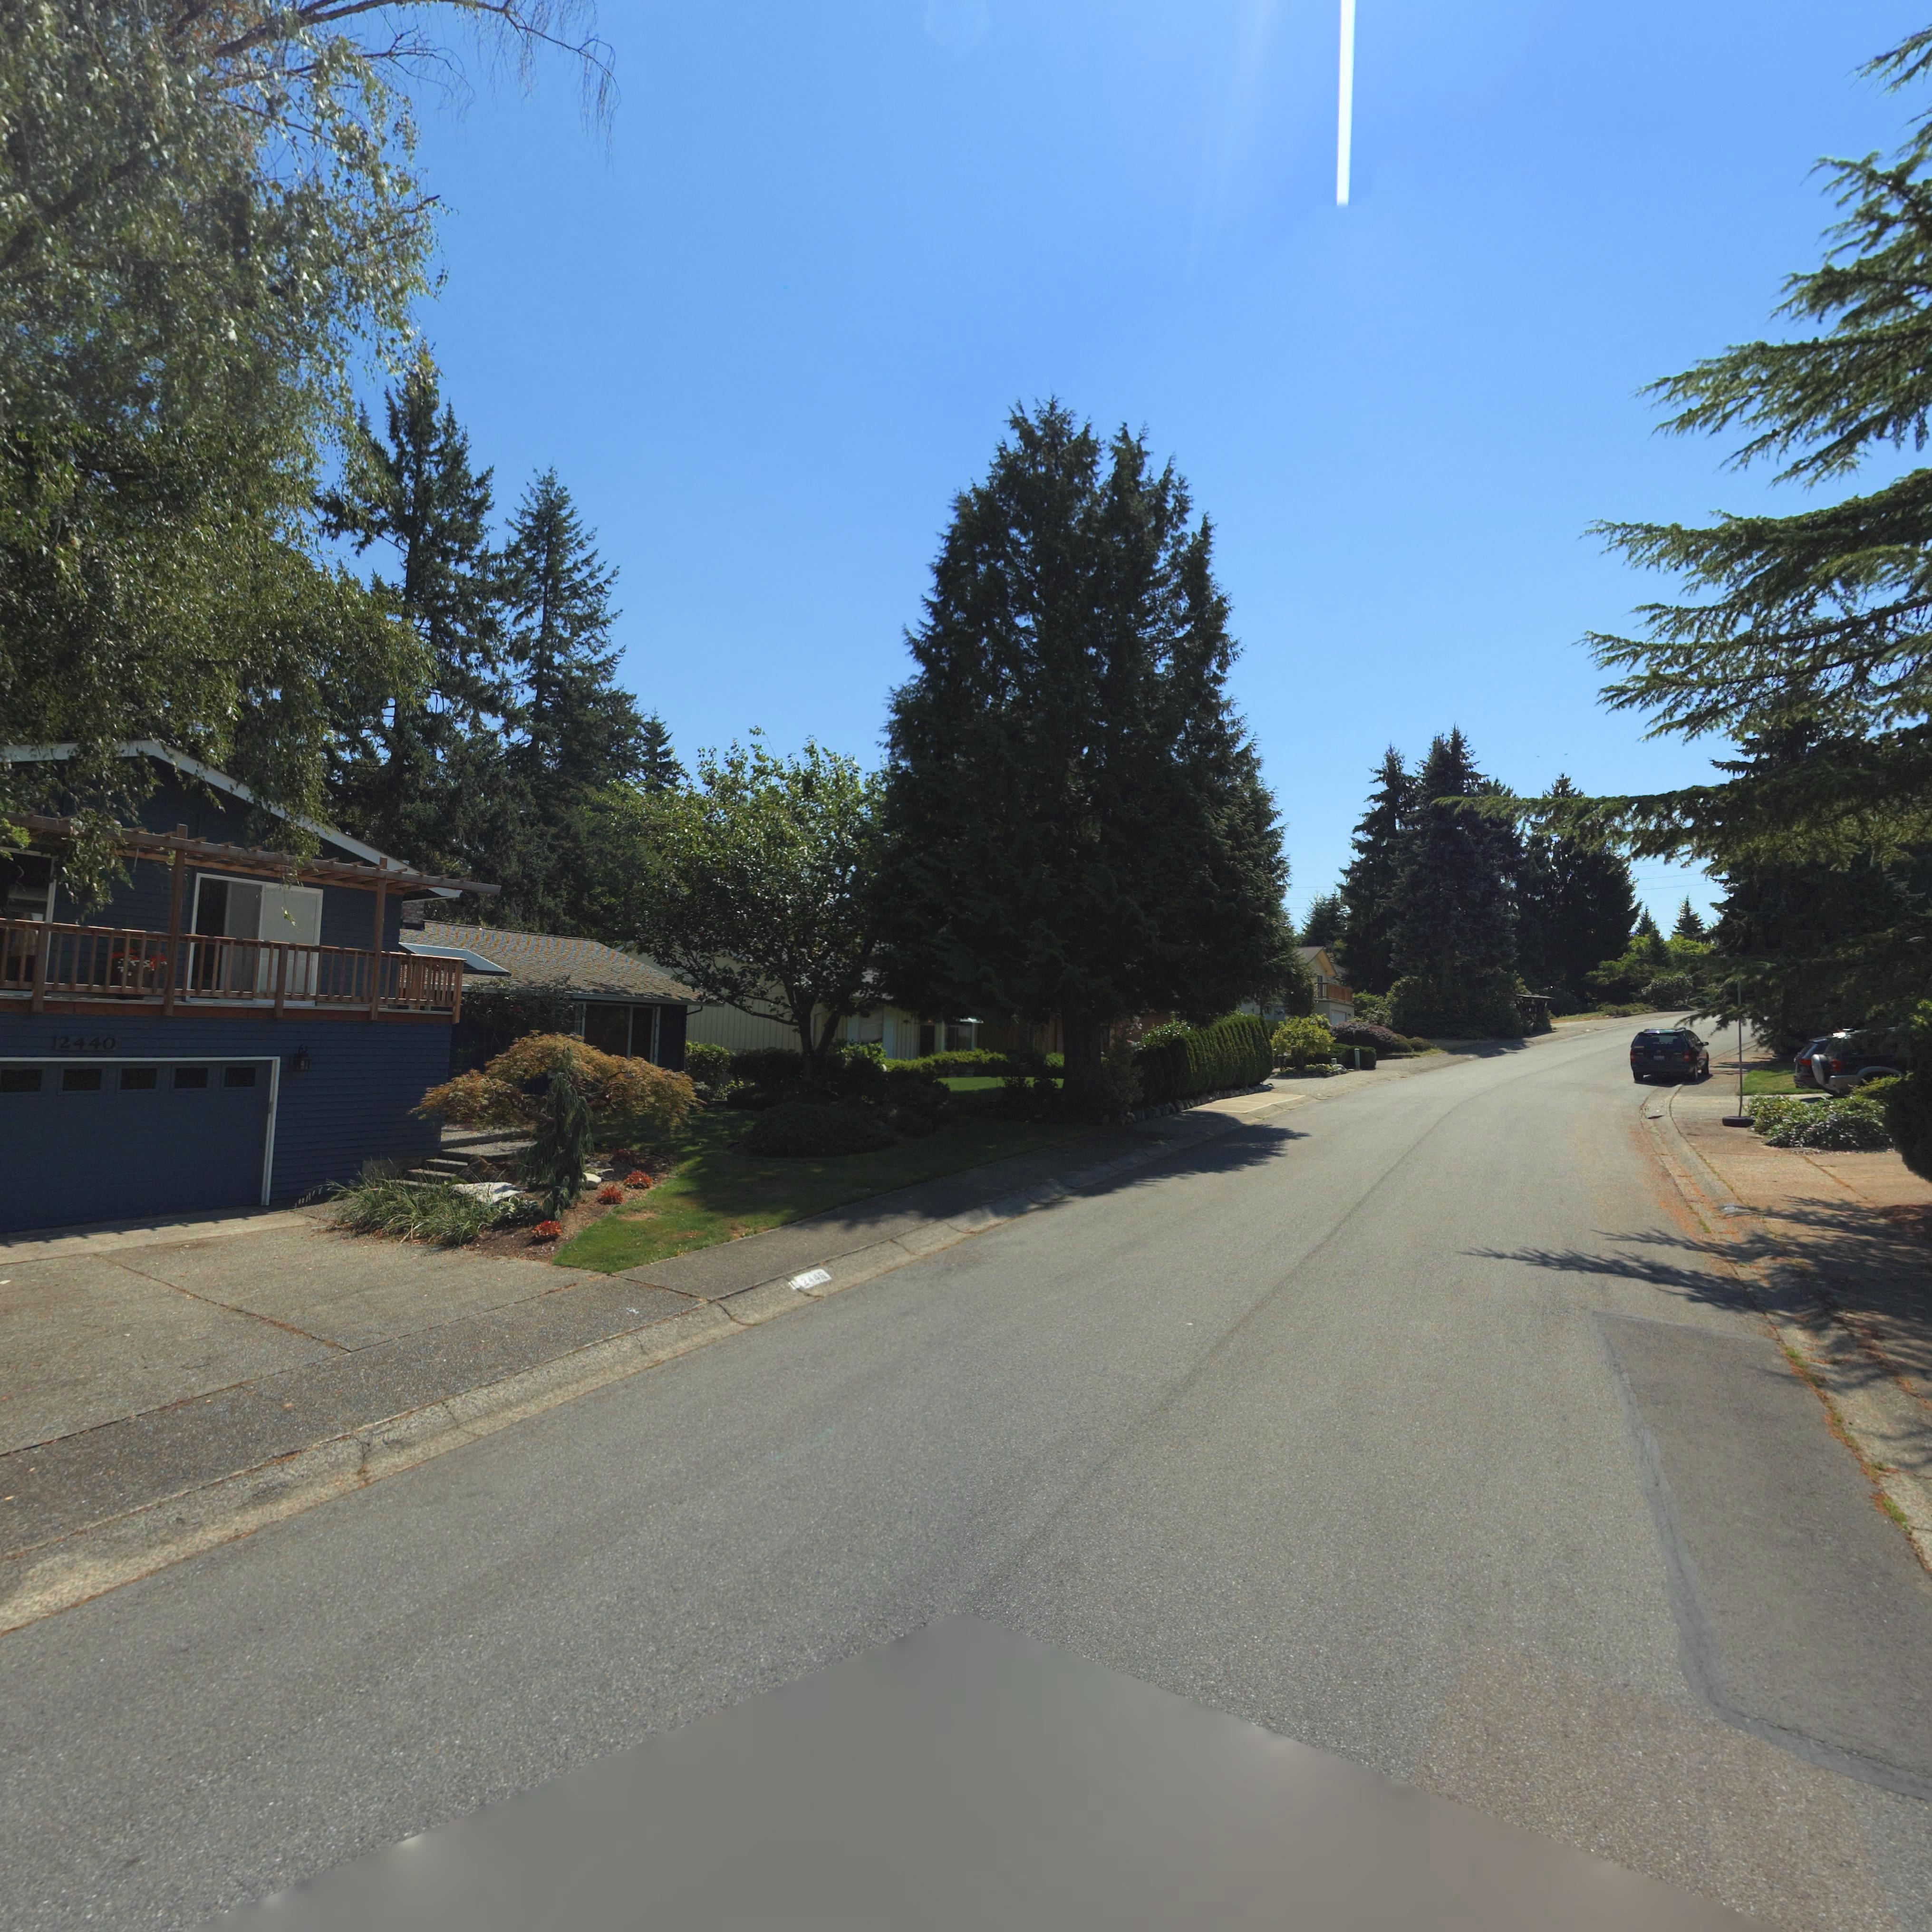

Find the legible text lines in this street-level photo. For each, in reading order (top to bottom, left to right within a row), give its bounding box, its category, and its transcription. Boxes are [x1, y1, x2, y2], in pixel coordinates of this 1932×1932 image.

[58, 1034, 116, 1051] StreetNumber: 2440
[798, 1273, 817, 1288] StreetNumber: 24